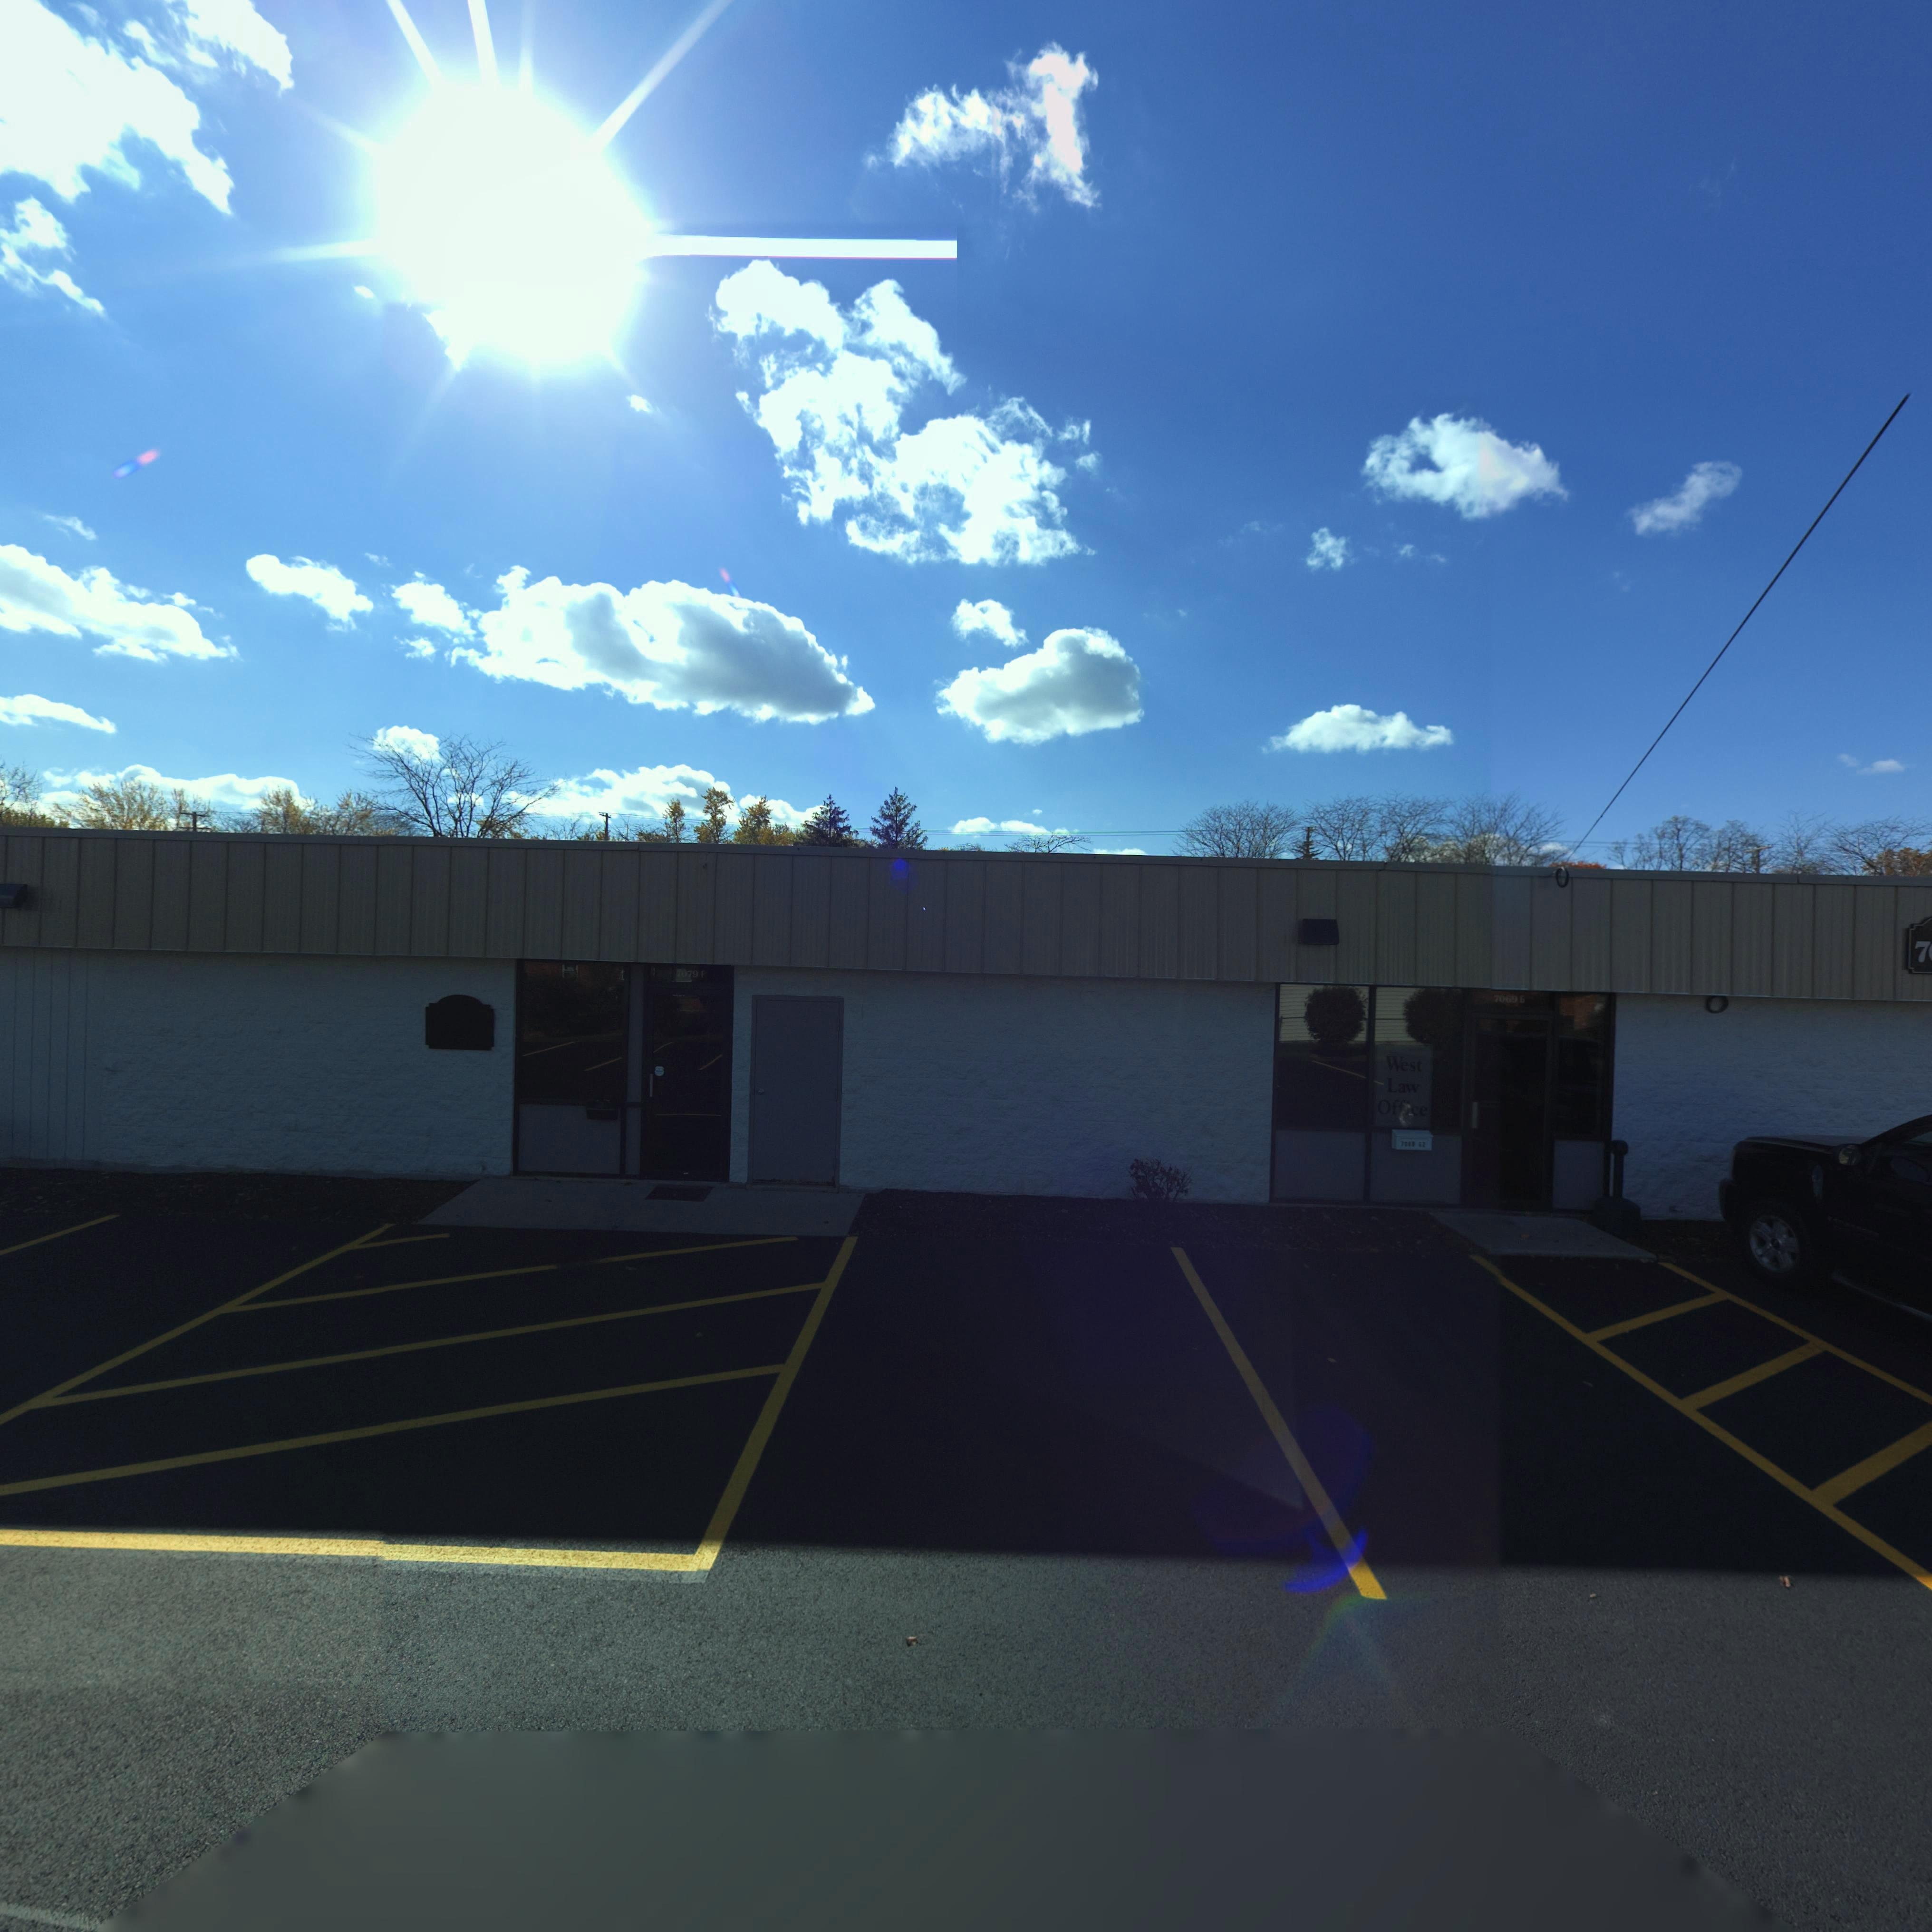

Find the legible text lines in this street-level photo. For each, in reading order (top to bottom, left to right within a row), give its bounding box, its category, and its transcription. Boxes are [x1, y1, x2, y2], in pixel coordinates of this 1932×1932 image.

[1913, 940, 1931, 965] StreetNumber: 7
[675, 968, 706, 979] StreetNumber: *079 *
[1491, 993, 1527, 1005] StreetNumber: 7069 *
[1401, 1140, 1416, 1148] StreetNumber: 7***
[1417, 1140, 1427, 1149] StreetNumber: *2